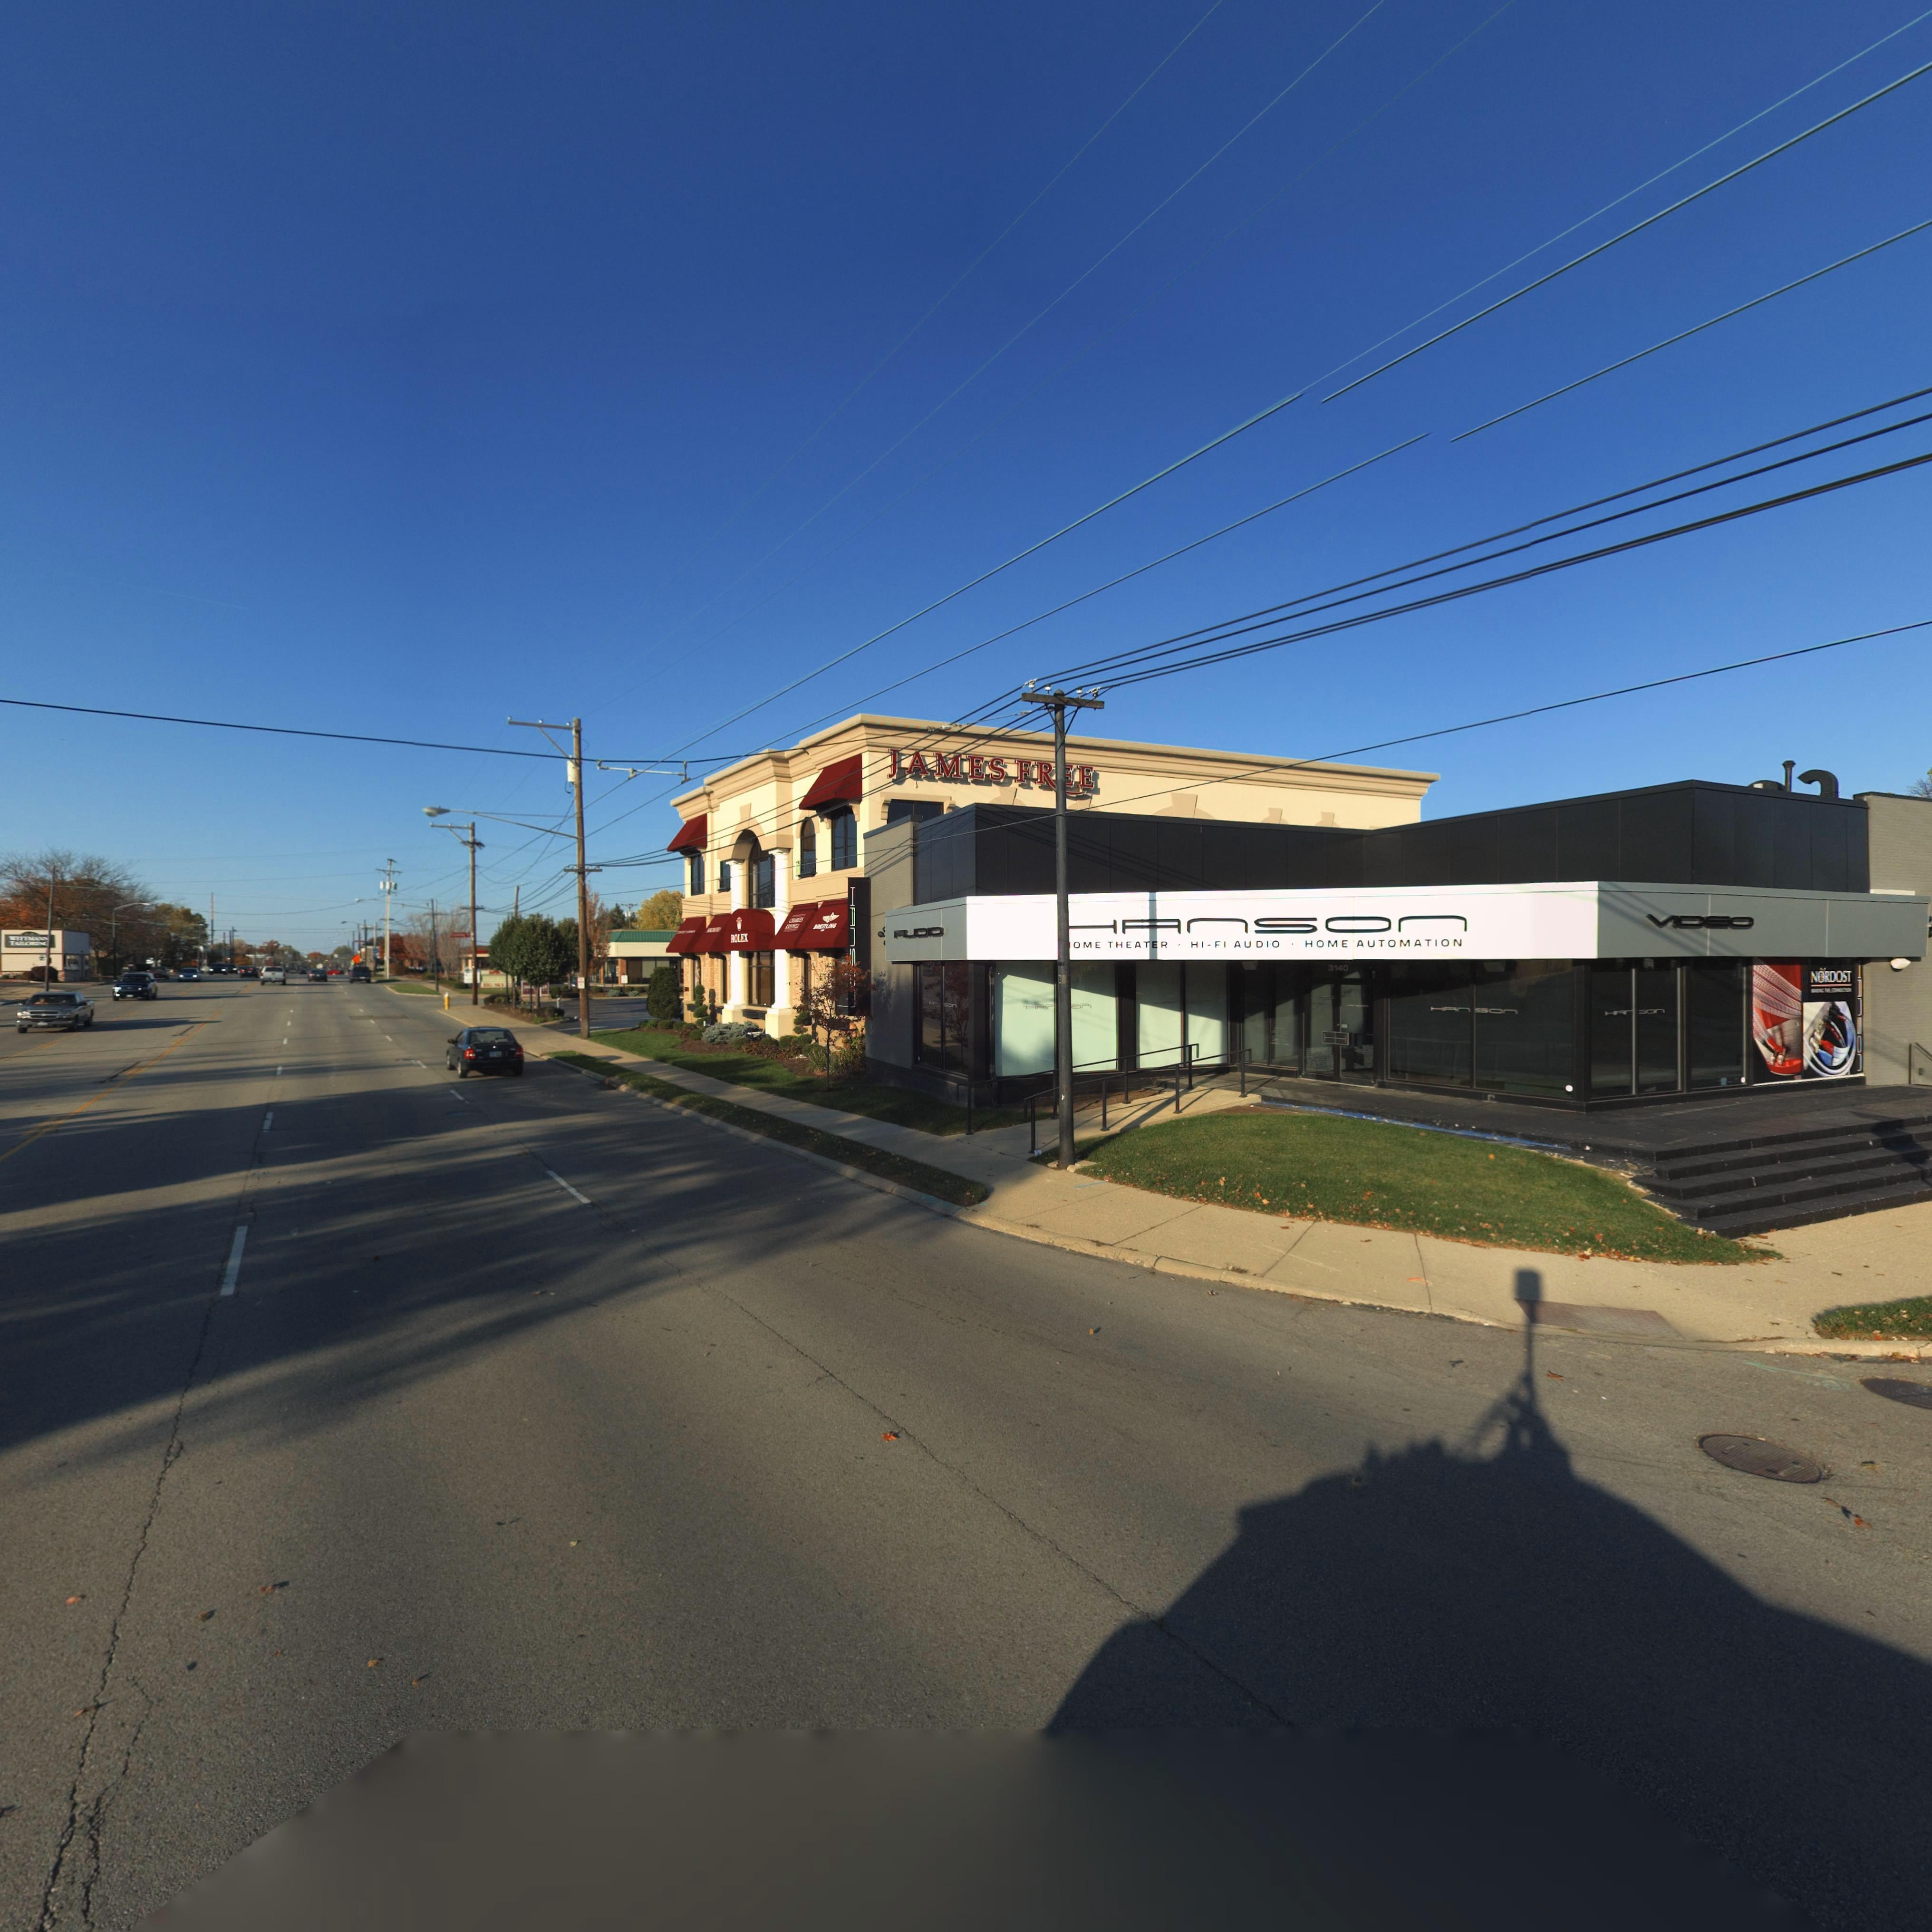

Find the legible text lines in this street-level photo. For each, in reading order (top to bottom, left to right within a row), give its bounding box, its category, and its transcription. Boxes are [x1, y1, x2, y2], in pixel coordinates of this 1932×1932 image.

[887, 747, 1096, 790] BusinessName: JAMES FR*E
[849, 886, 856, 968] BusinessName: HAnS
[1121, 914, 1468, 935] BusinessName: AnSOn
[1327, 963, 1349, 972] StreetNumber: 3140
[1430, 1005, 1519, 1016] BusinessName: HAnSOn
[1604, 1007, 1667, 1017] BusinessName: HA*SOn